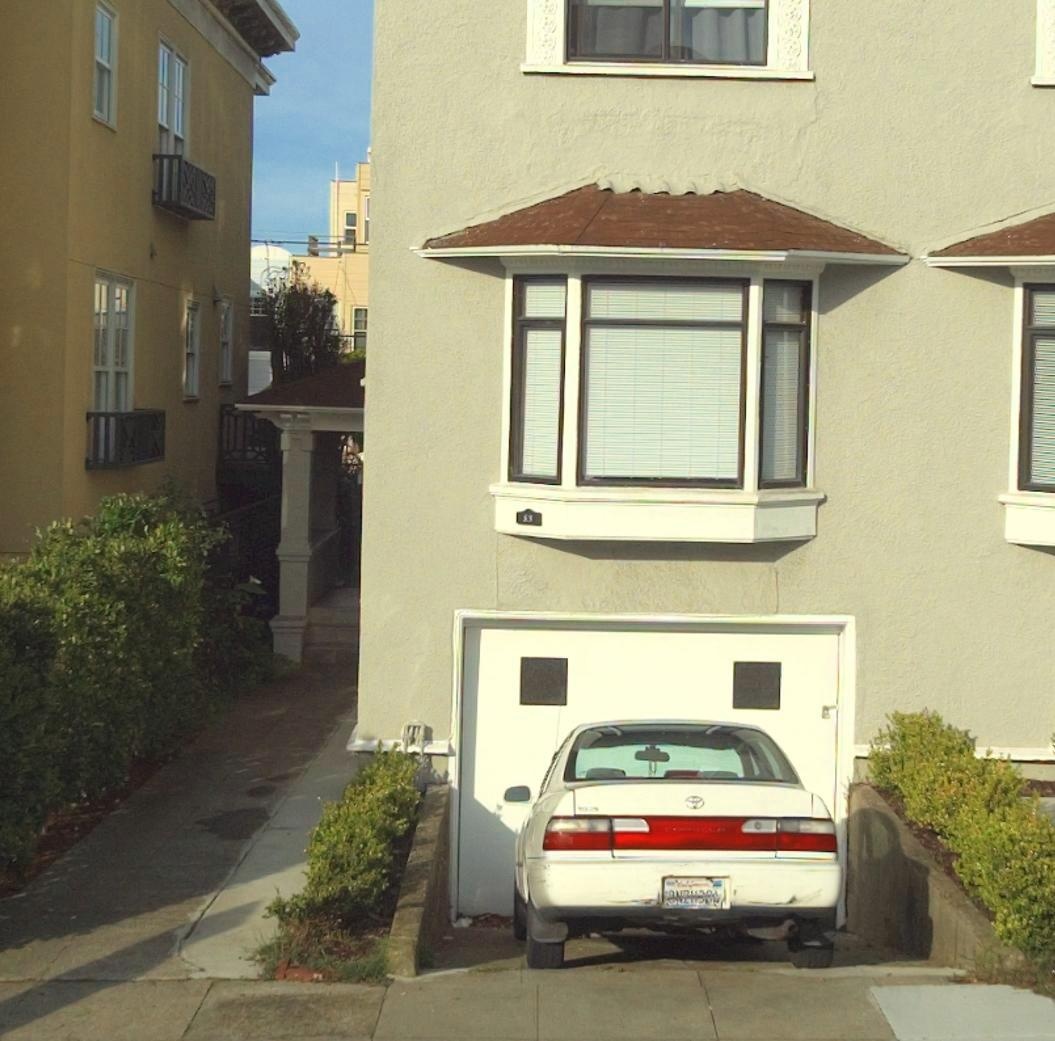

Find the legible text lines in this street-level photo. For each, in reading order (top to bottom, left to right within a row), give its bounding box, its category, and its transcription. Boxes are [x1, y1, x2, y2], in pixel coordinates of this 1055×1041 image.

[521, 513, 535, 524] StreetNumber: *3